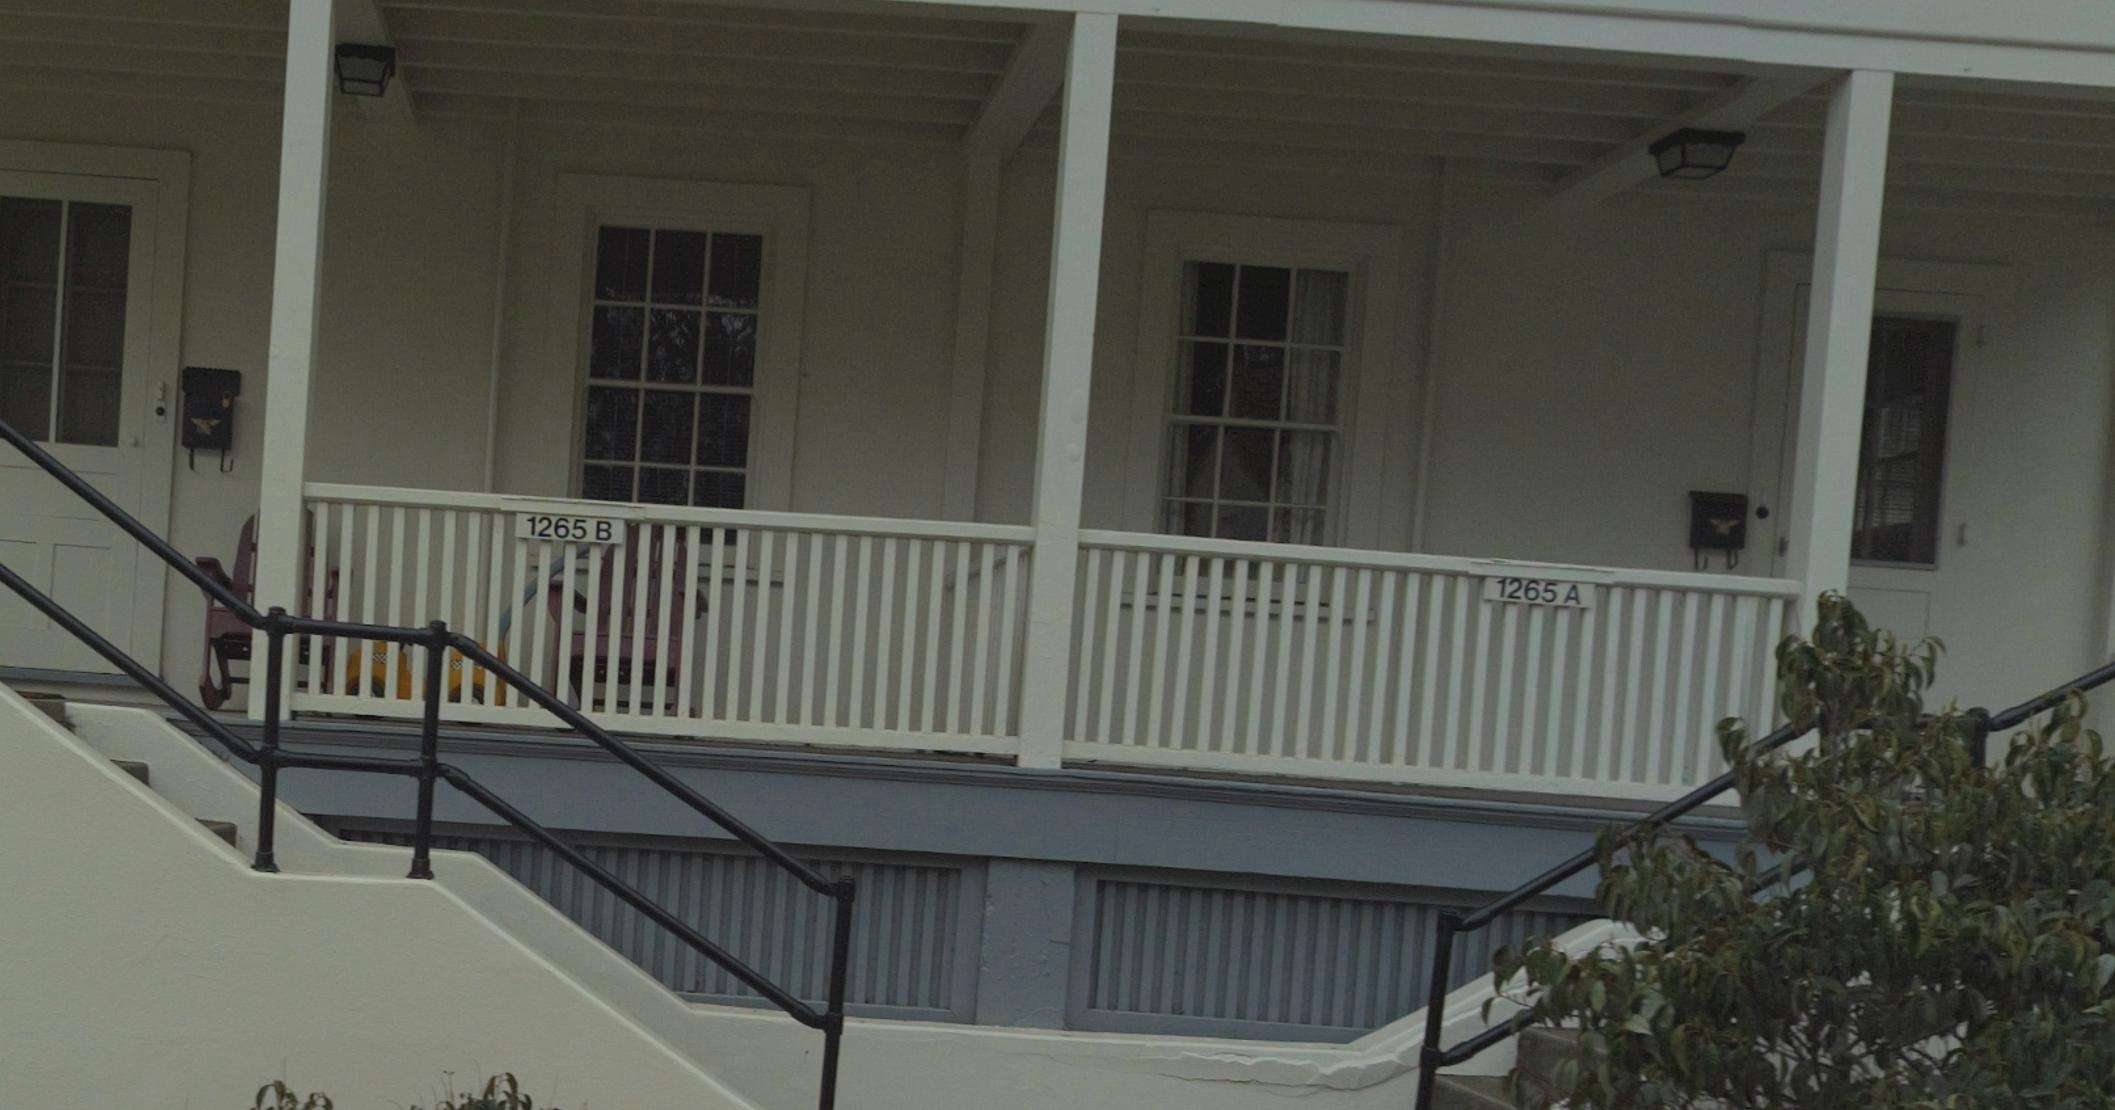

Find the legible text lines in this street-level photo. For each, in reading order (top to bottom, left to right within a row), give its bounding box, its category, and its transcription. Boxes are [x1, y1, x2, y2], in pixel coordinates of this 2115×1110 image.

[526, 515, 613, 543] StreetNumber: 1265 B
[1496, 576, 1585, 607] StreetNumber: 1265 A